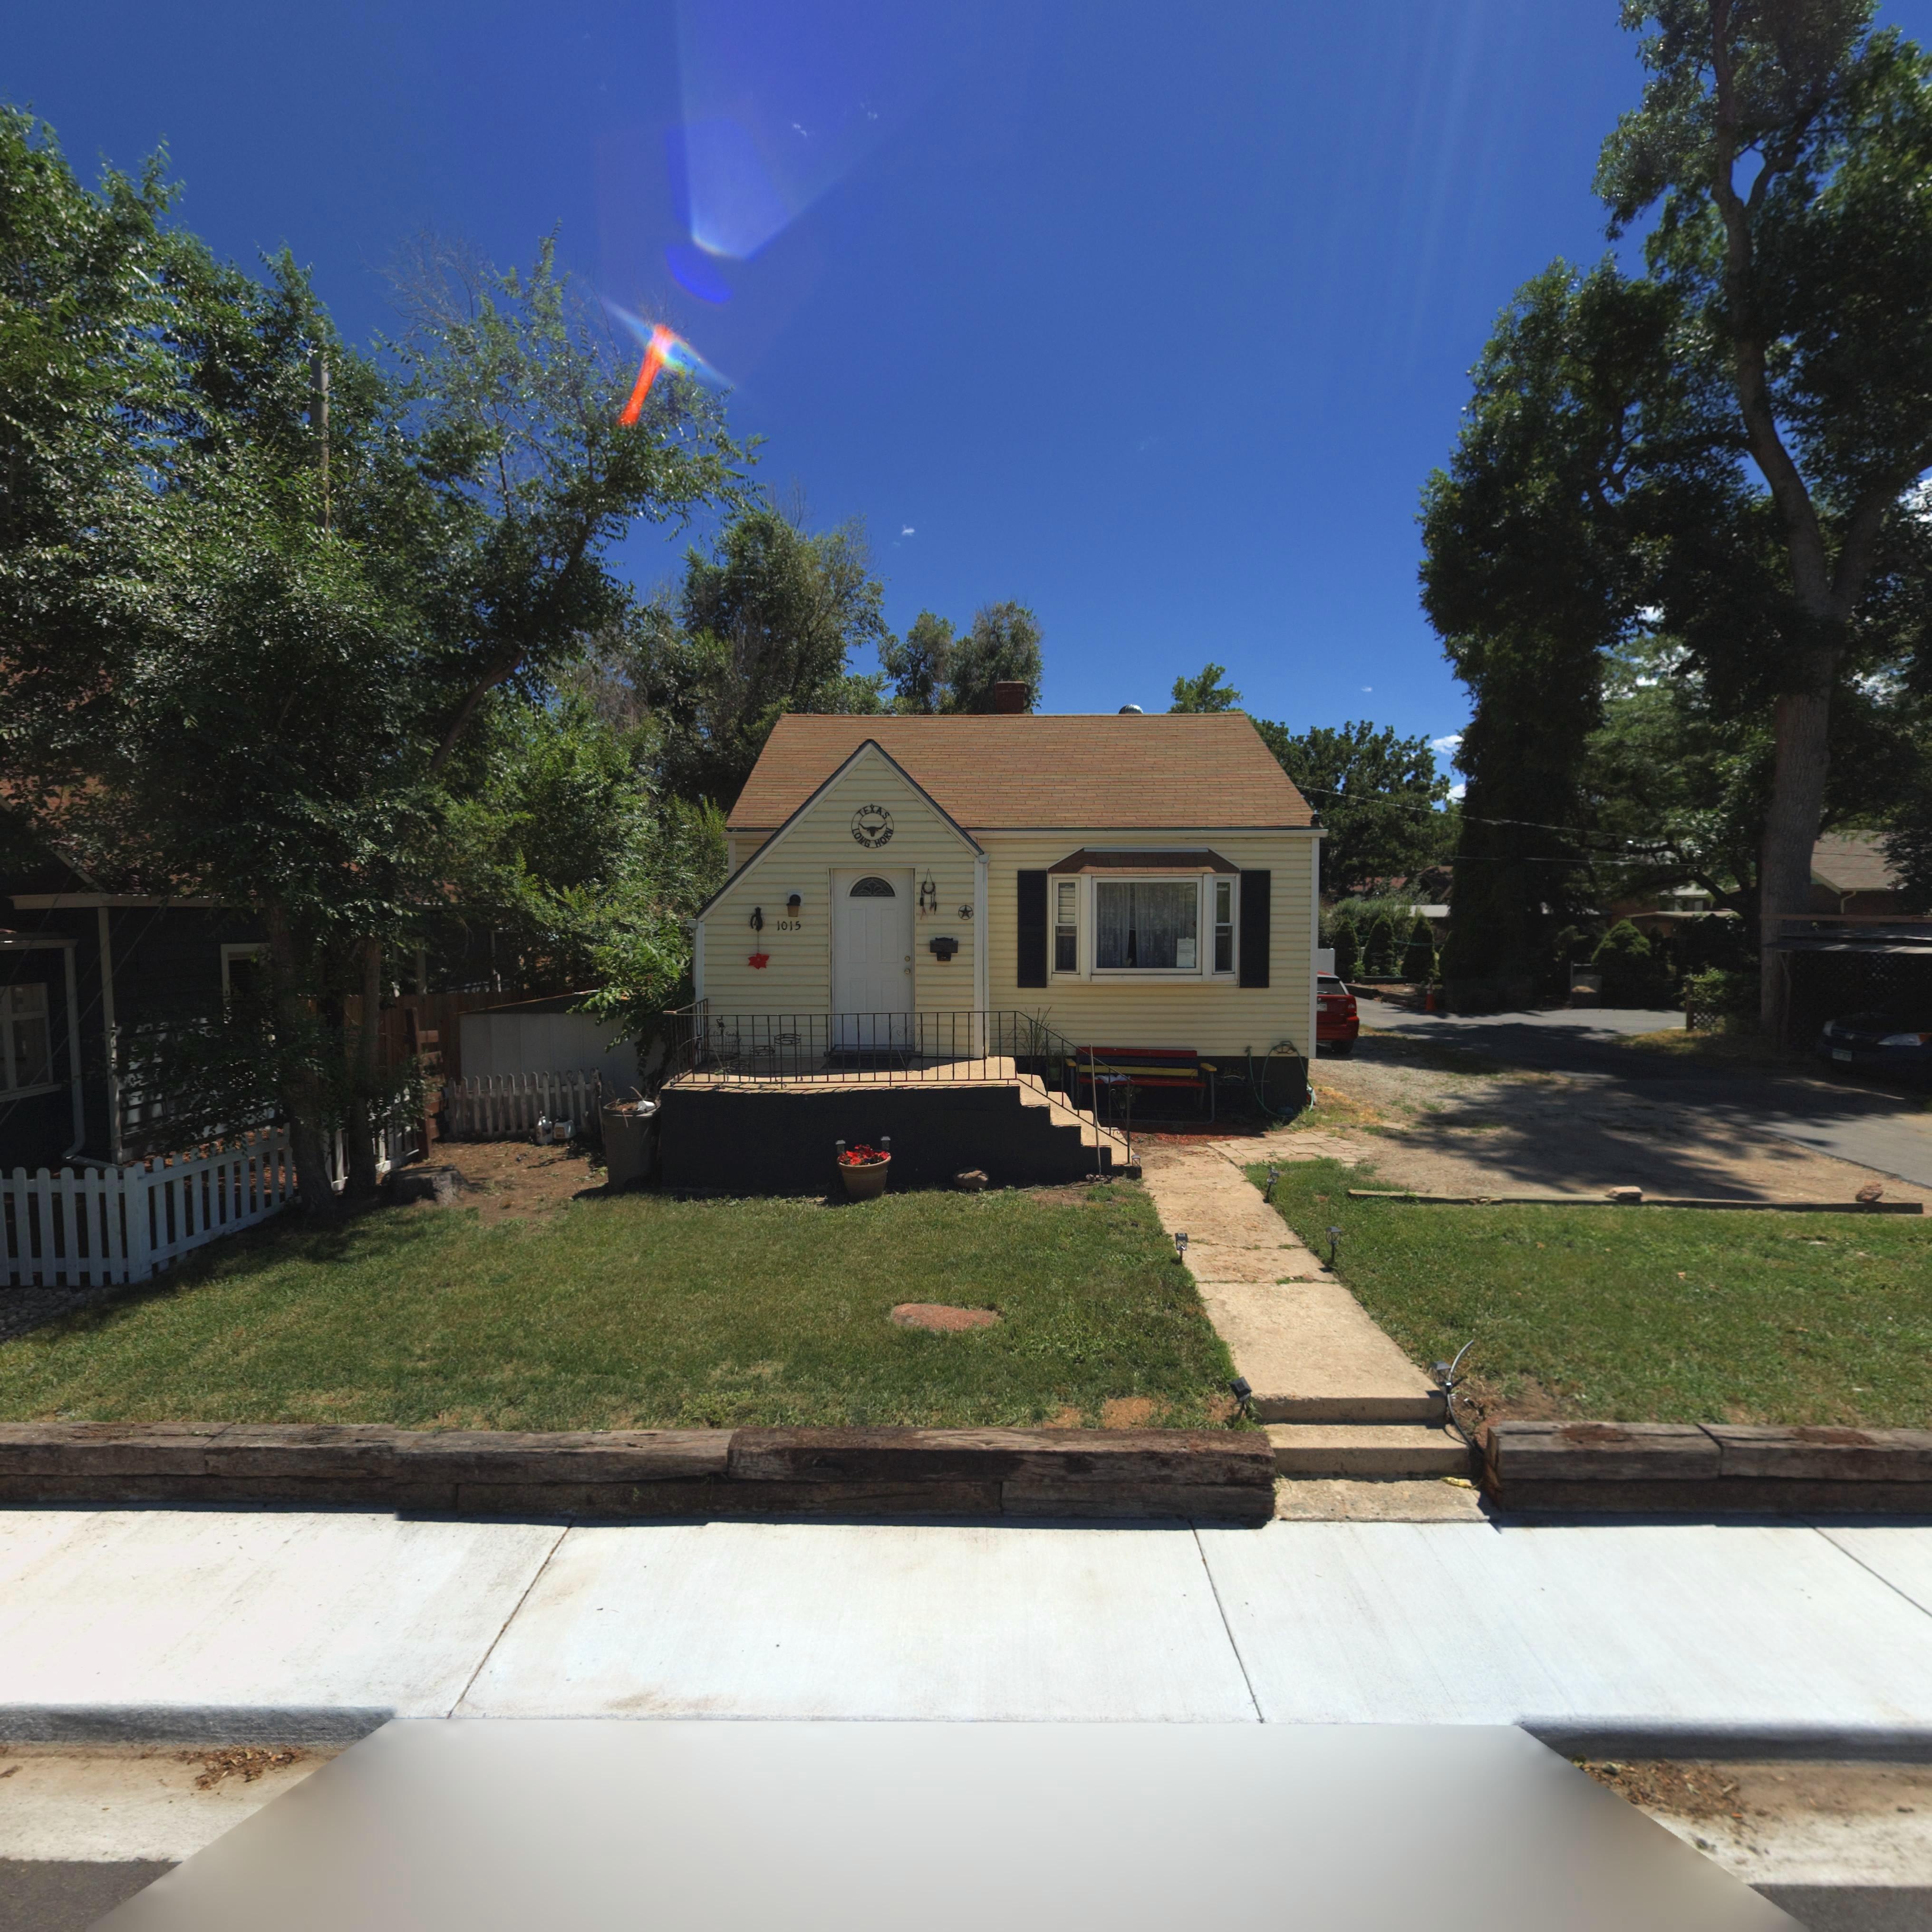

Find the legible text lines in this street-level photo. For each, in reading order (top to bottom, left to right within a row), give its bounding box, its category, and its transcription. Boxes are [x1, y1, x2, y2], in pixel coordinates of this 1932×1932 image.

[777, 920, 801, 931] StreetNumber: 1015